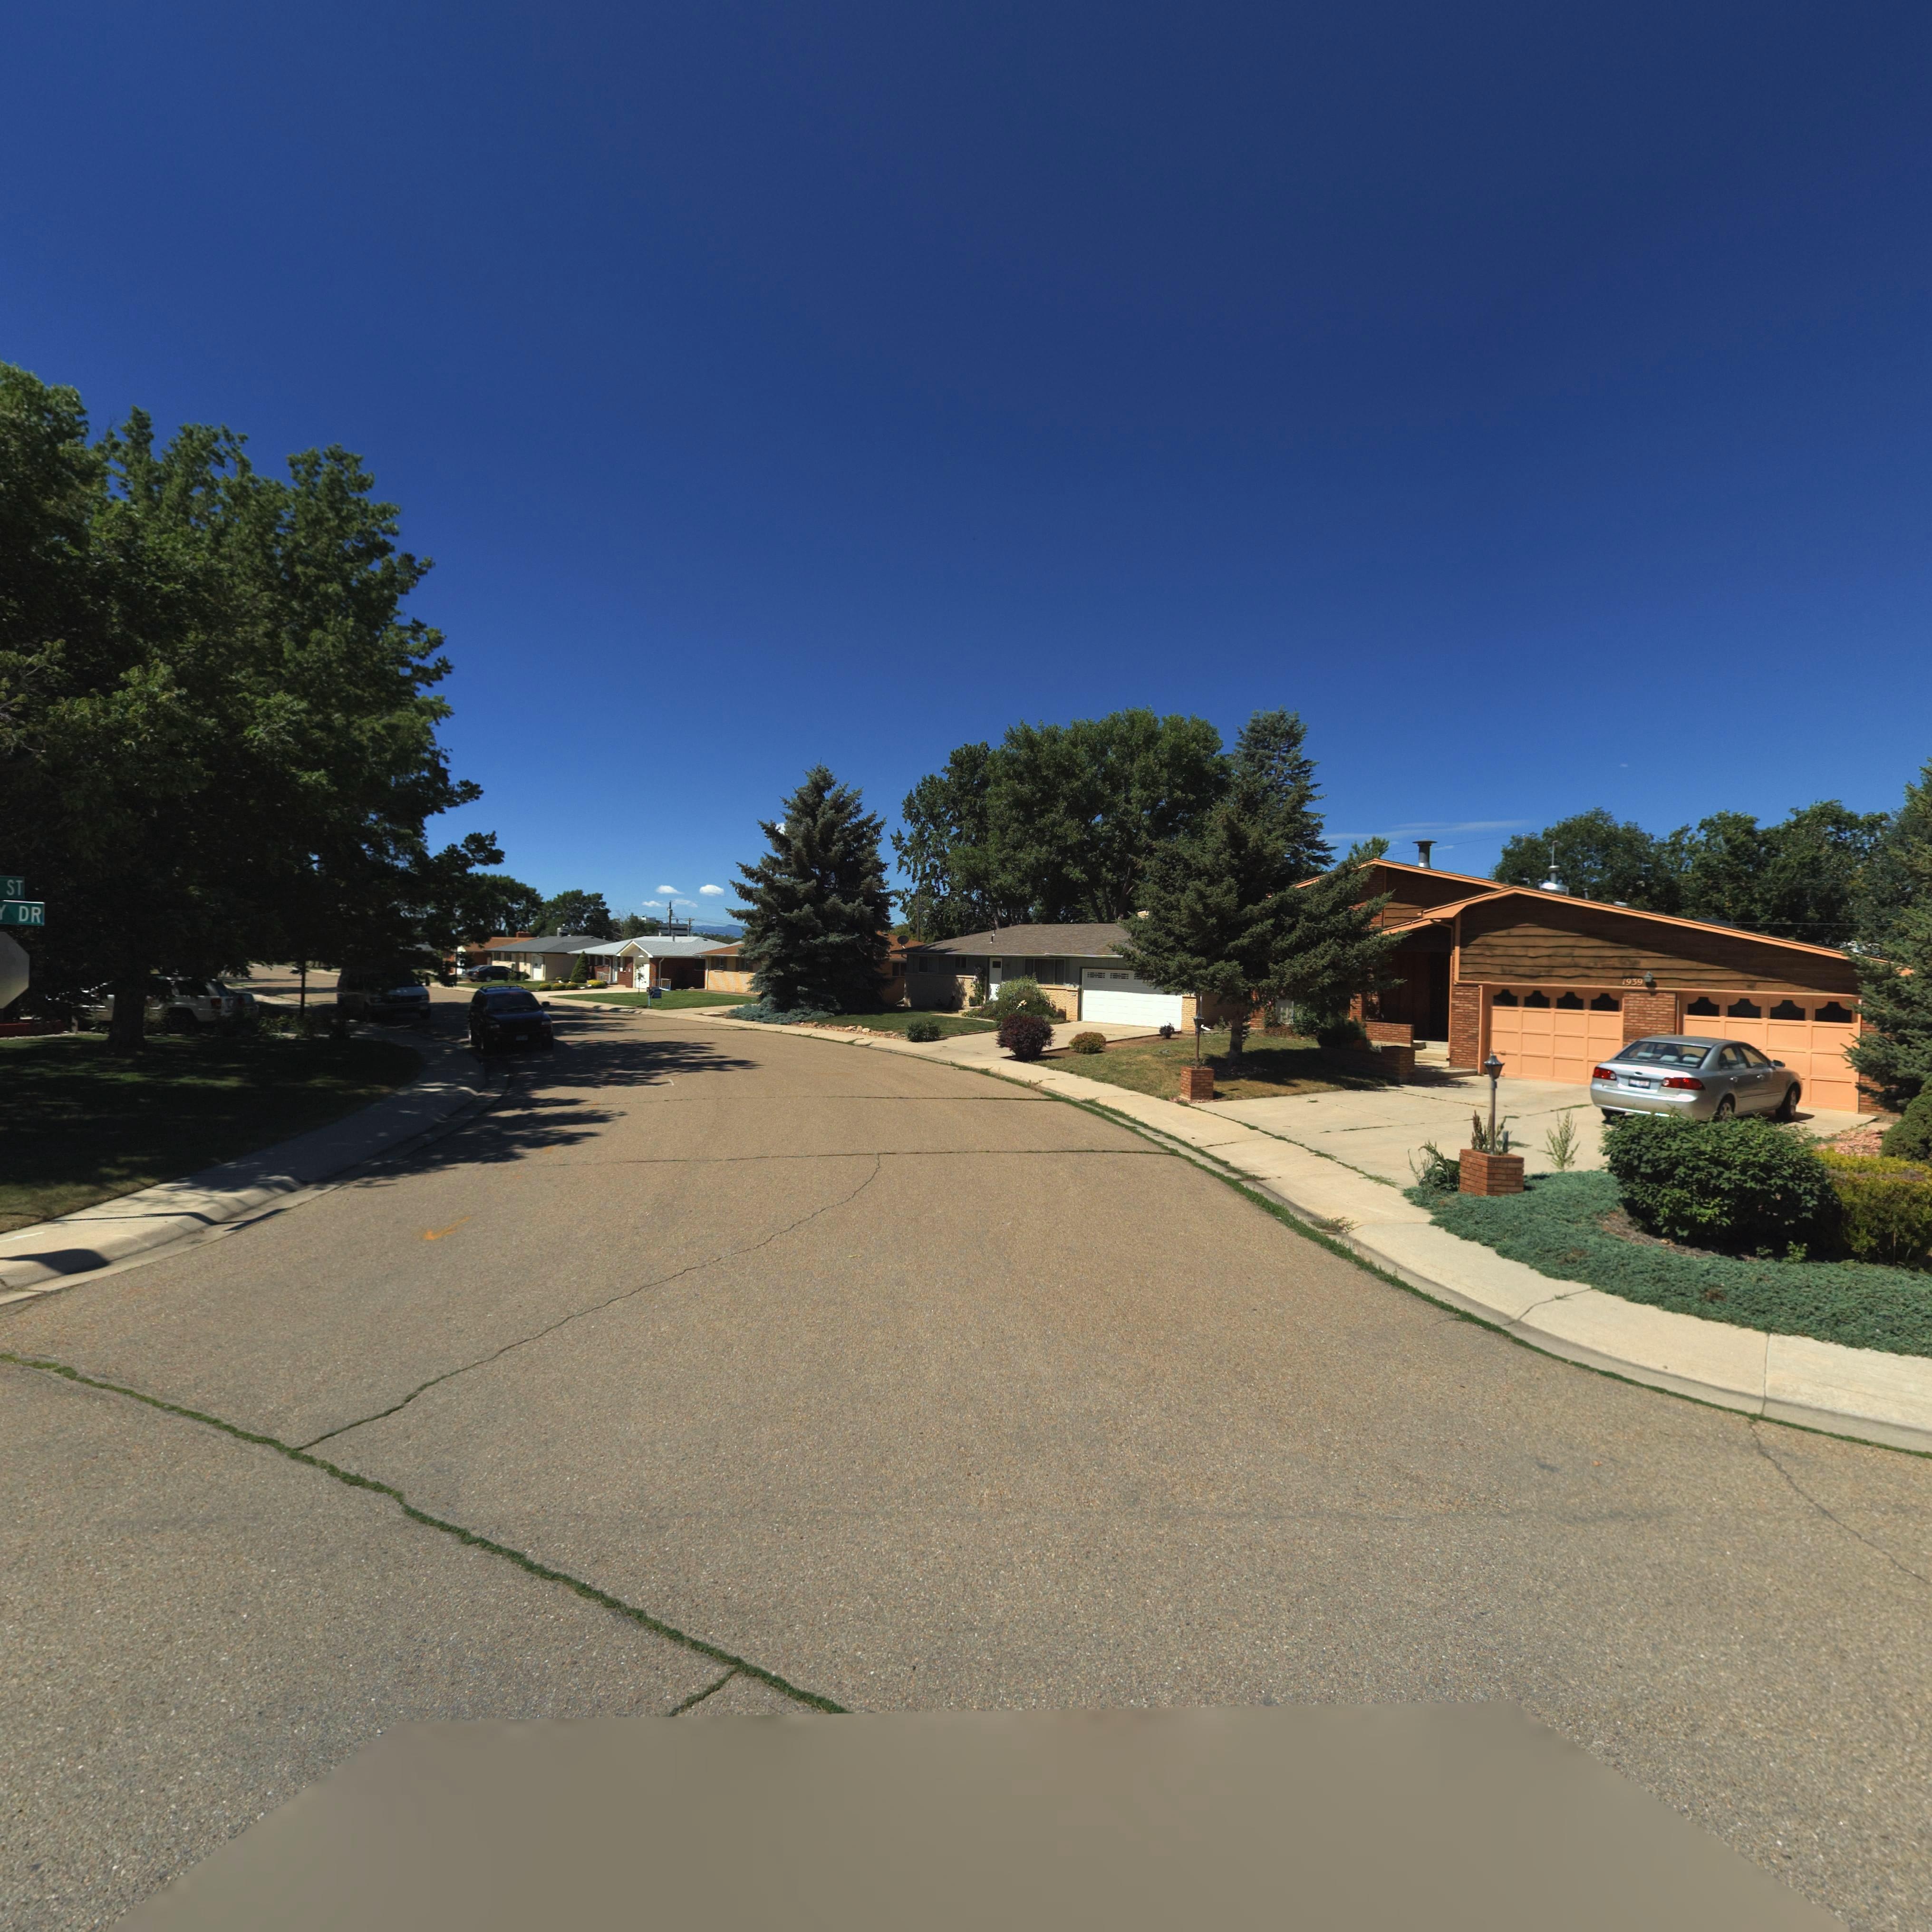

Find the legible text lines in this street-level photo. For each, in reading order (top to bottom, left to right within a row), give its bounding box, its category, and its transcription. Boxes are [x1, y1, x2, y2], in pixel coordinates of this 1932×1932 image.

[5, 879, 23, 897] StreetName: ST
[18, 905, 41, 924] StreetName: DR
[1622, 977, 1643, 986] StreetNumber: 1939